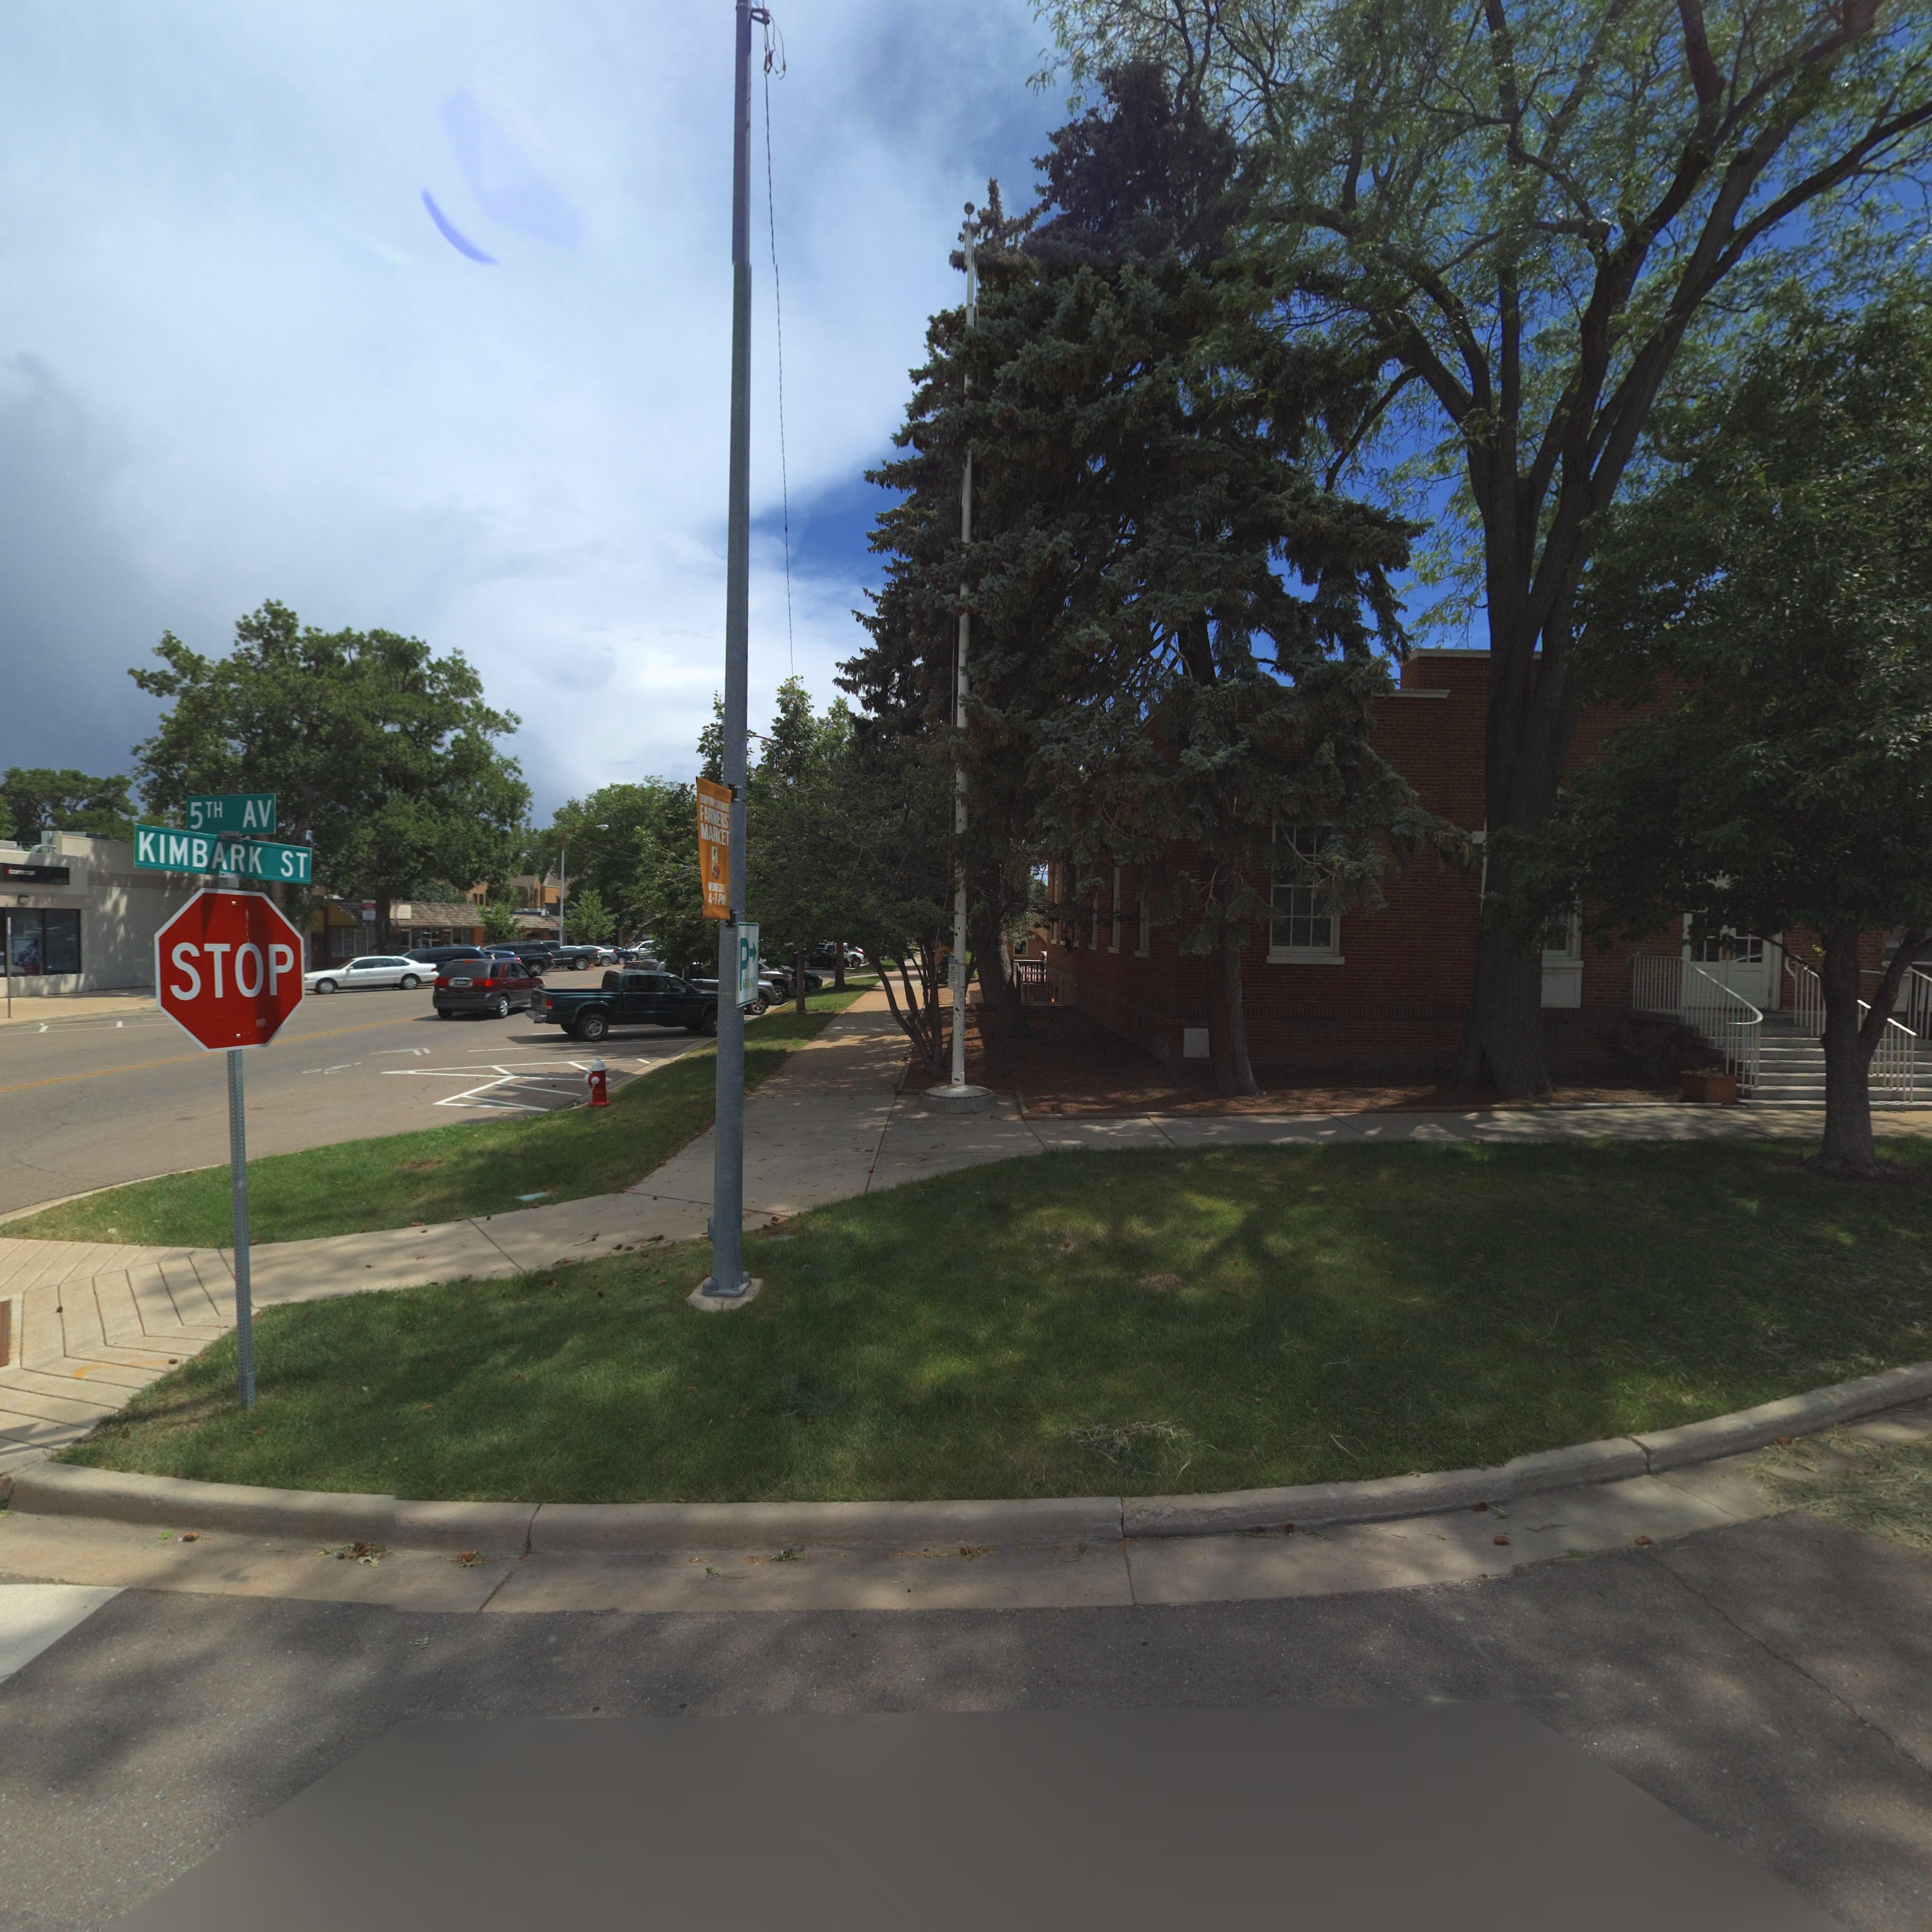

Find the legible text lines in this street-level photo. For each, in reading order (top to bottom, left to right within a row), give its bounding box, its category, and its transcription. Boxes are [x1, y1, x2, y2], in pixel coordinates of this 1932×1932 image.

[189, 798, 273, 831] StreetName: 5TH AV
[137, 830, 309, 879] StreetName: KIMBARK ST
[8, 869, 36, 875] BusinessName: comcast